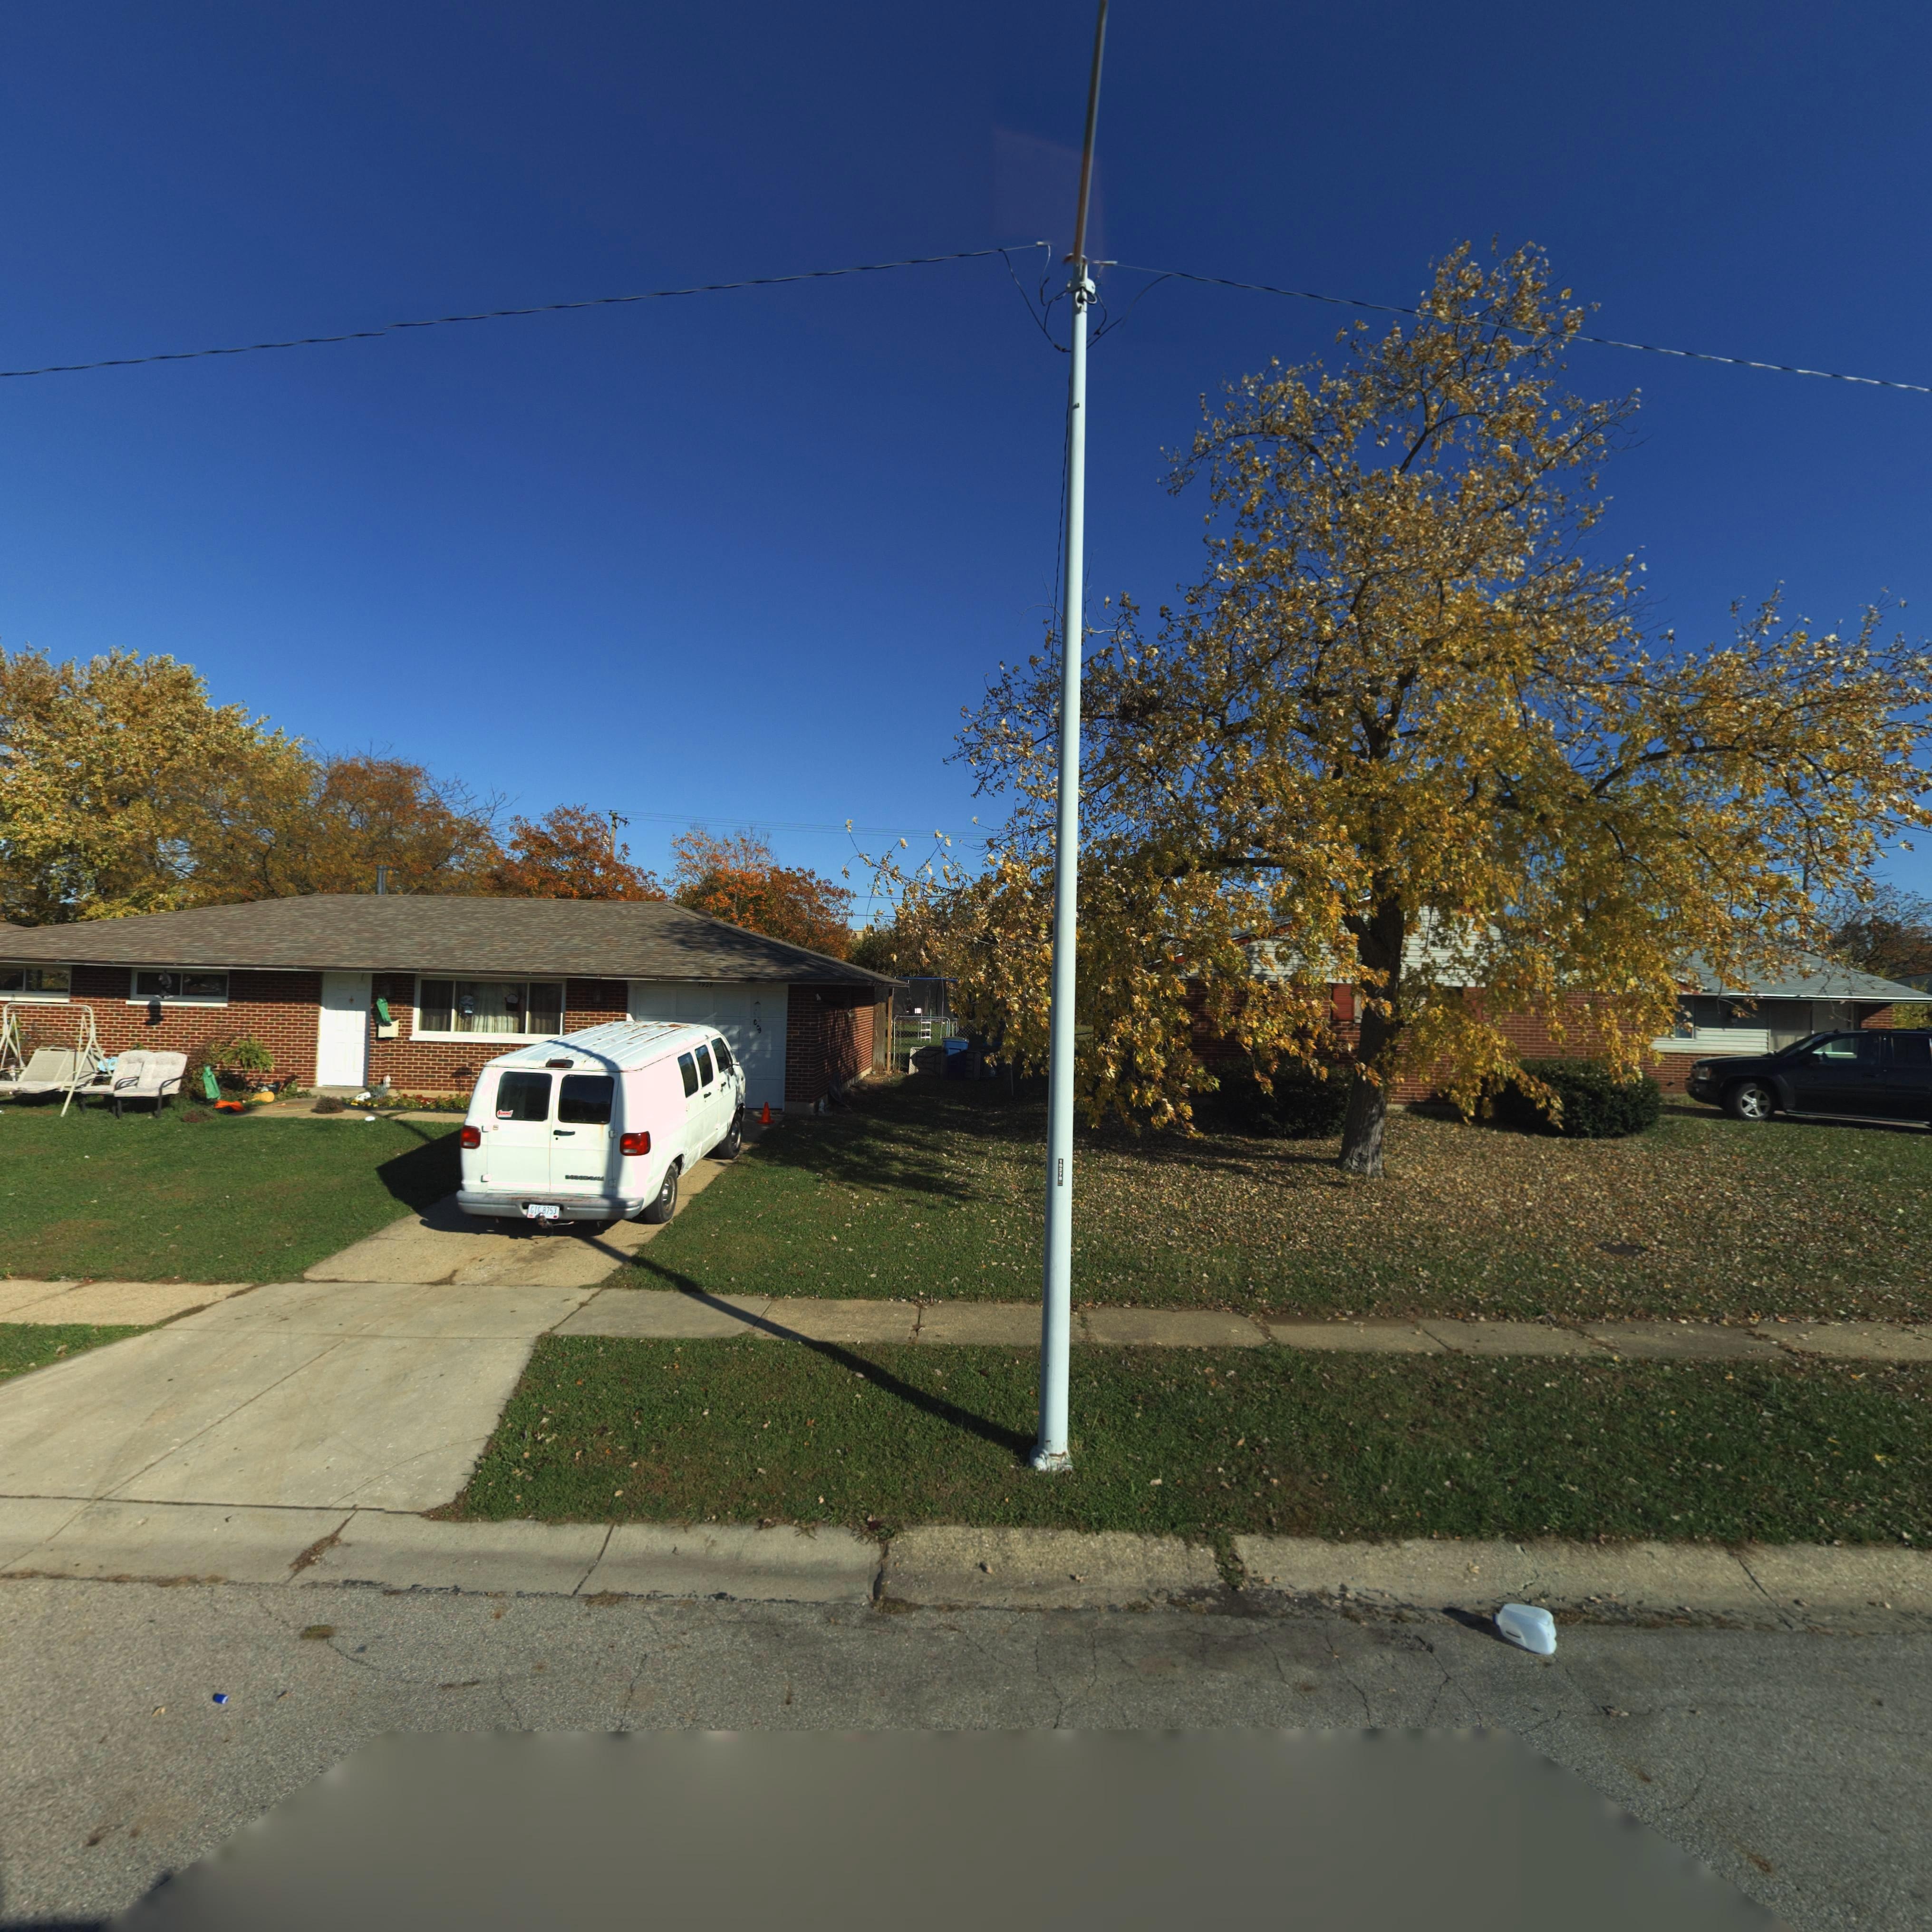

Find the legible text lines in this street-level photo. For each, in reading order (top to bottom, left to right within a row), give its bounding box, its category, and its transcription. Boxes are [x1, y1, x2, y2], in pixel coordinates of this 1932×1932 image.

[697, 981, 714, 988] StreetNumber: 7929